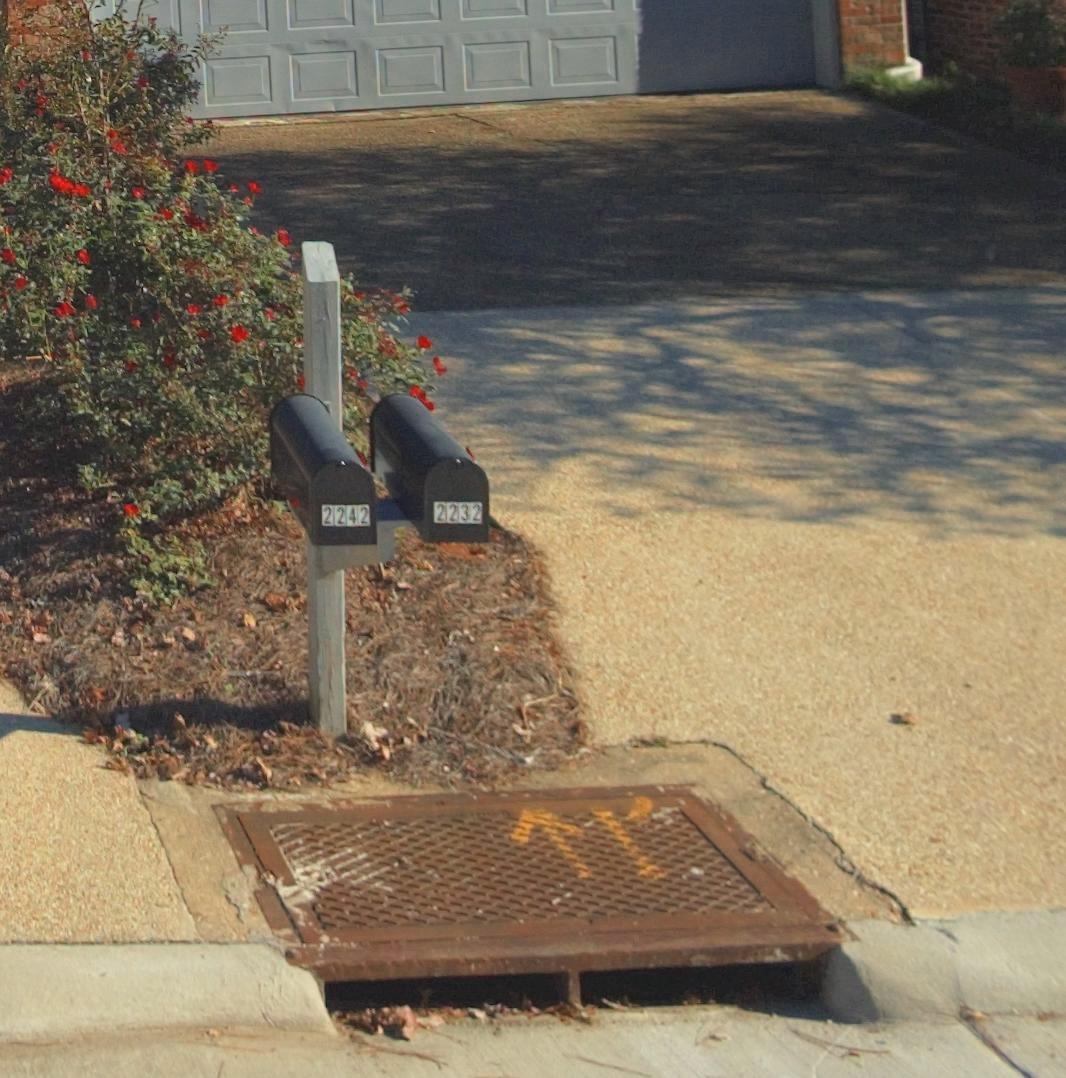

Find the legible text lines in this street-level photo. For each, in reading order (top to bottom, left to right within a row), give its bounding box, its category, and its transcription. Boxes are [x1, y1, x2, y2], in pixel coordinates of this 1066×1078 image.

[321, 504, 369, 526] StreetNumber: 2242
[434, 501, 483, 524] StreetNumber: 2232